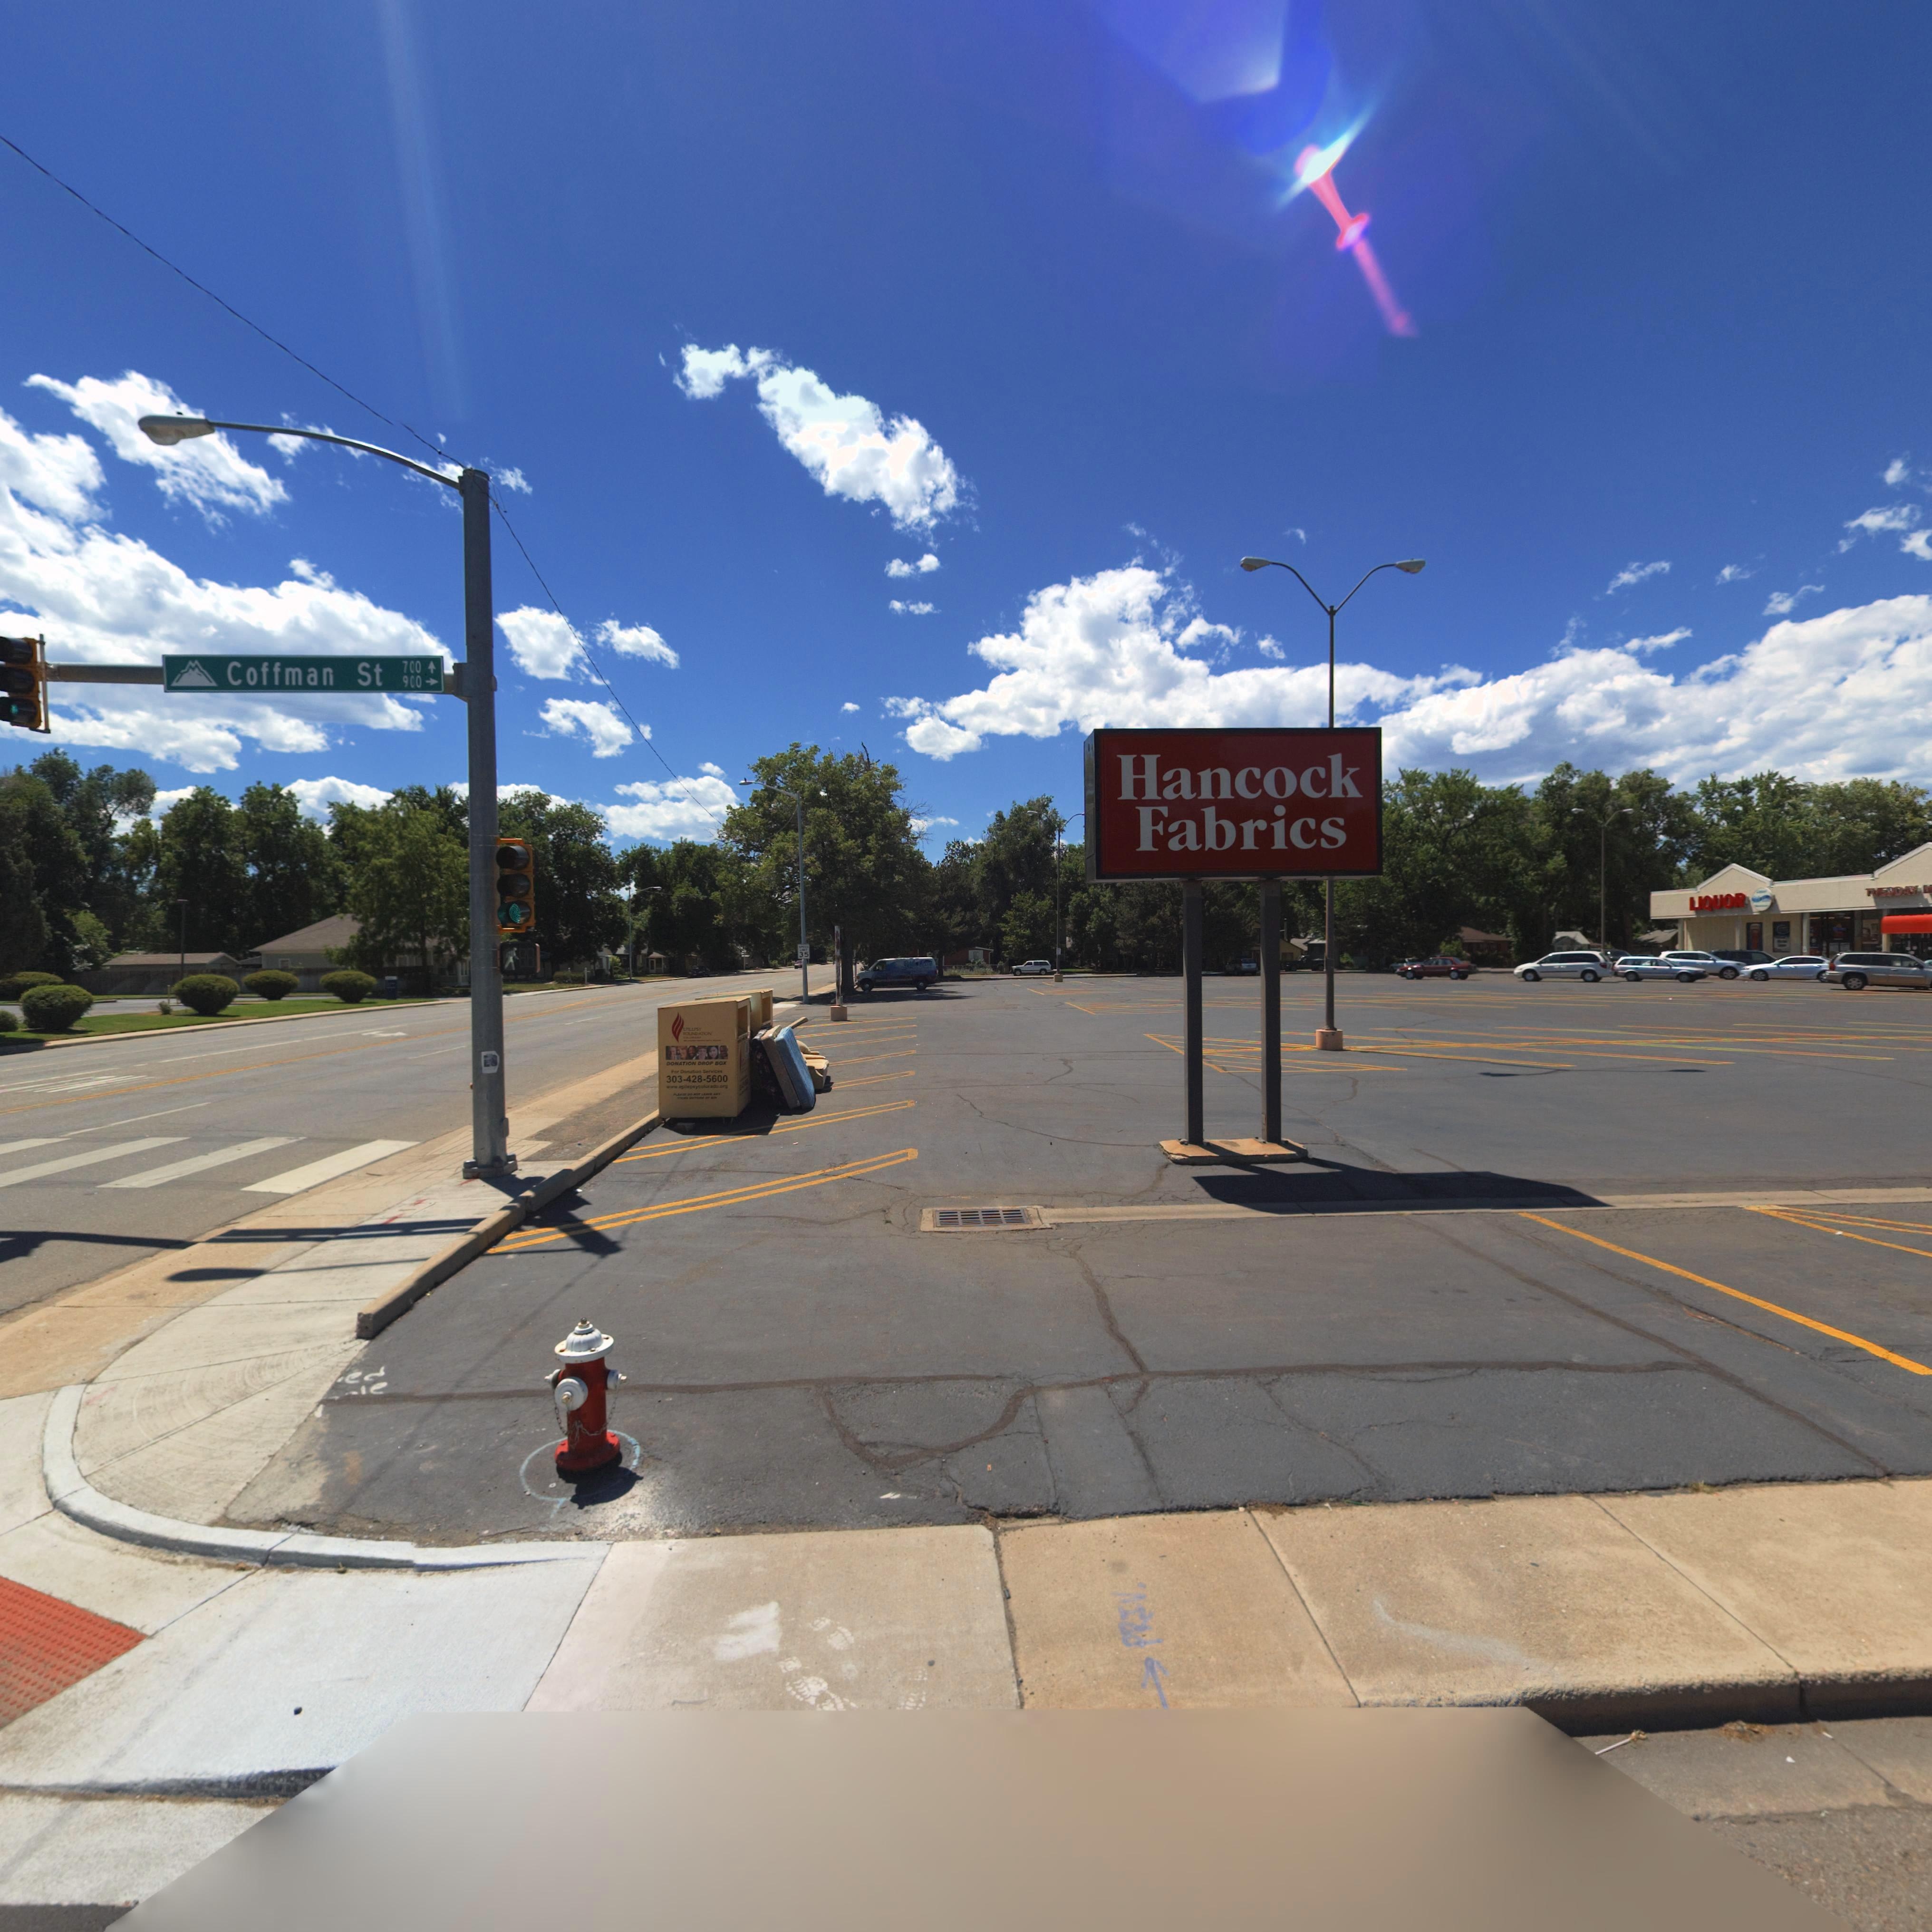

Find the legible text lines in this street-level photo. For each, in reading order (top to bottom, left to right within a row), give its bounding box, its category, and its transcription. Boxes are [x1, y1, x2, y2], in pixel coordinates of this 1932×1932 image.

[226, 660, 383, 686] StreetName: Coffman St
[401, 660, 422, 674] StreetNumberRange: 700
[402, 675, 438, 688] StreetNumberRange: 900 ->
[1116, 752, 1363, 801] BusinessName: Hancock
[1134, 804, 1346, 851] BusinessName: Fabrics
[1864, 885, 1919, 897] BusinessName: TUESDAY